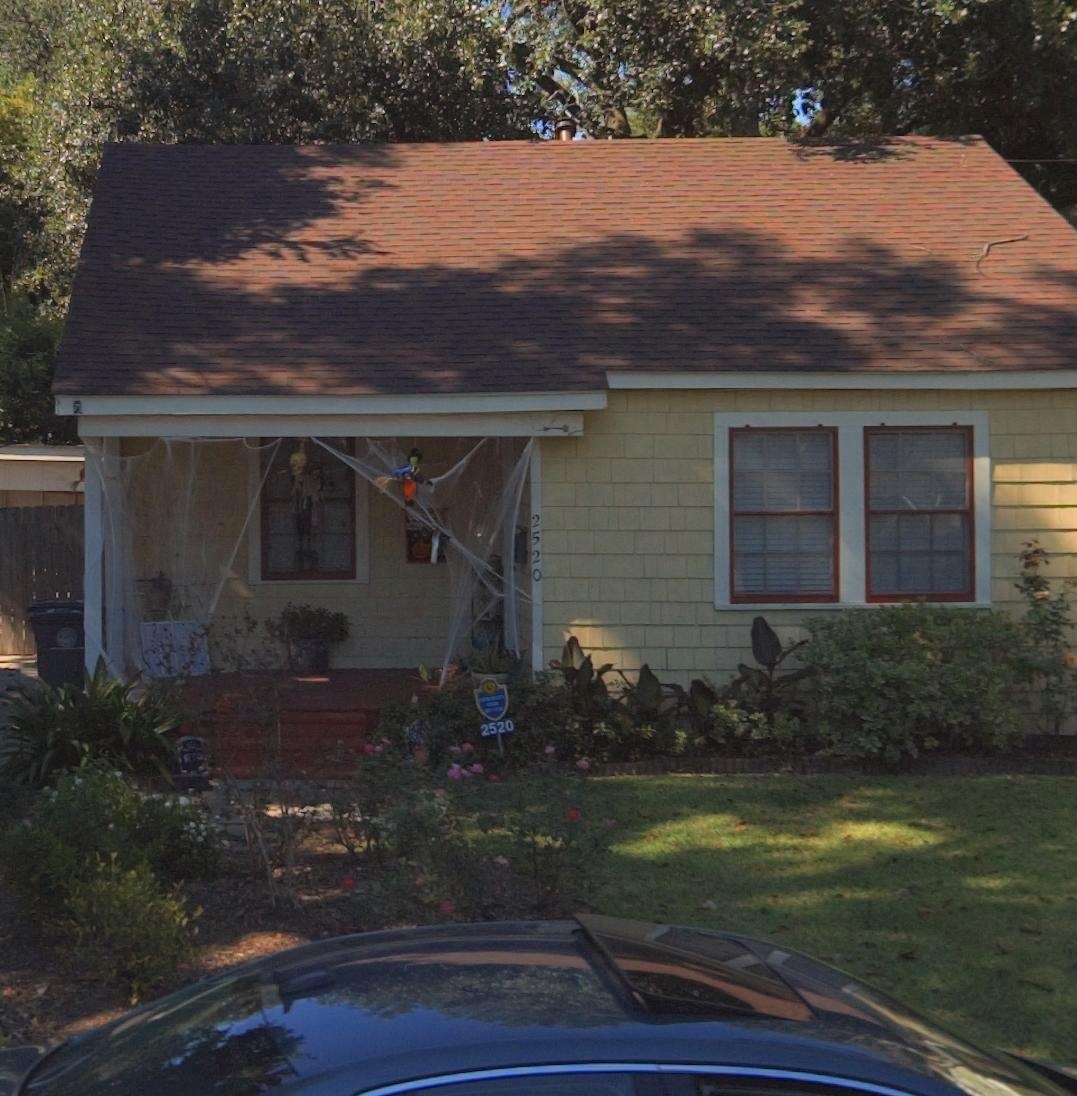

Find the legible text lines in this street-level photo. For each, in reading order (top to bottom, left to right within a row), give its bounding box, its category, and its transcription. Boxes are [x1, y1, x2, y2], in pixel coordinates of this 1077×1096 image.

[530, 512, 543, 583] StreetNumber: 2520
[477, 716, 517, 740] StreetNumber: 2520